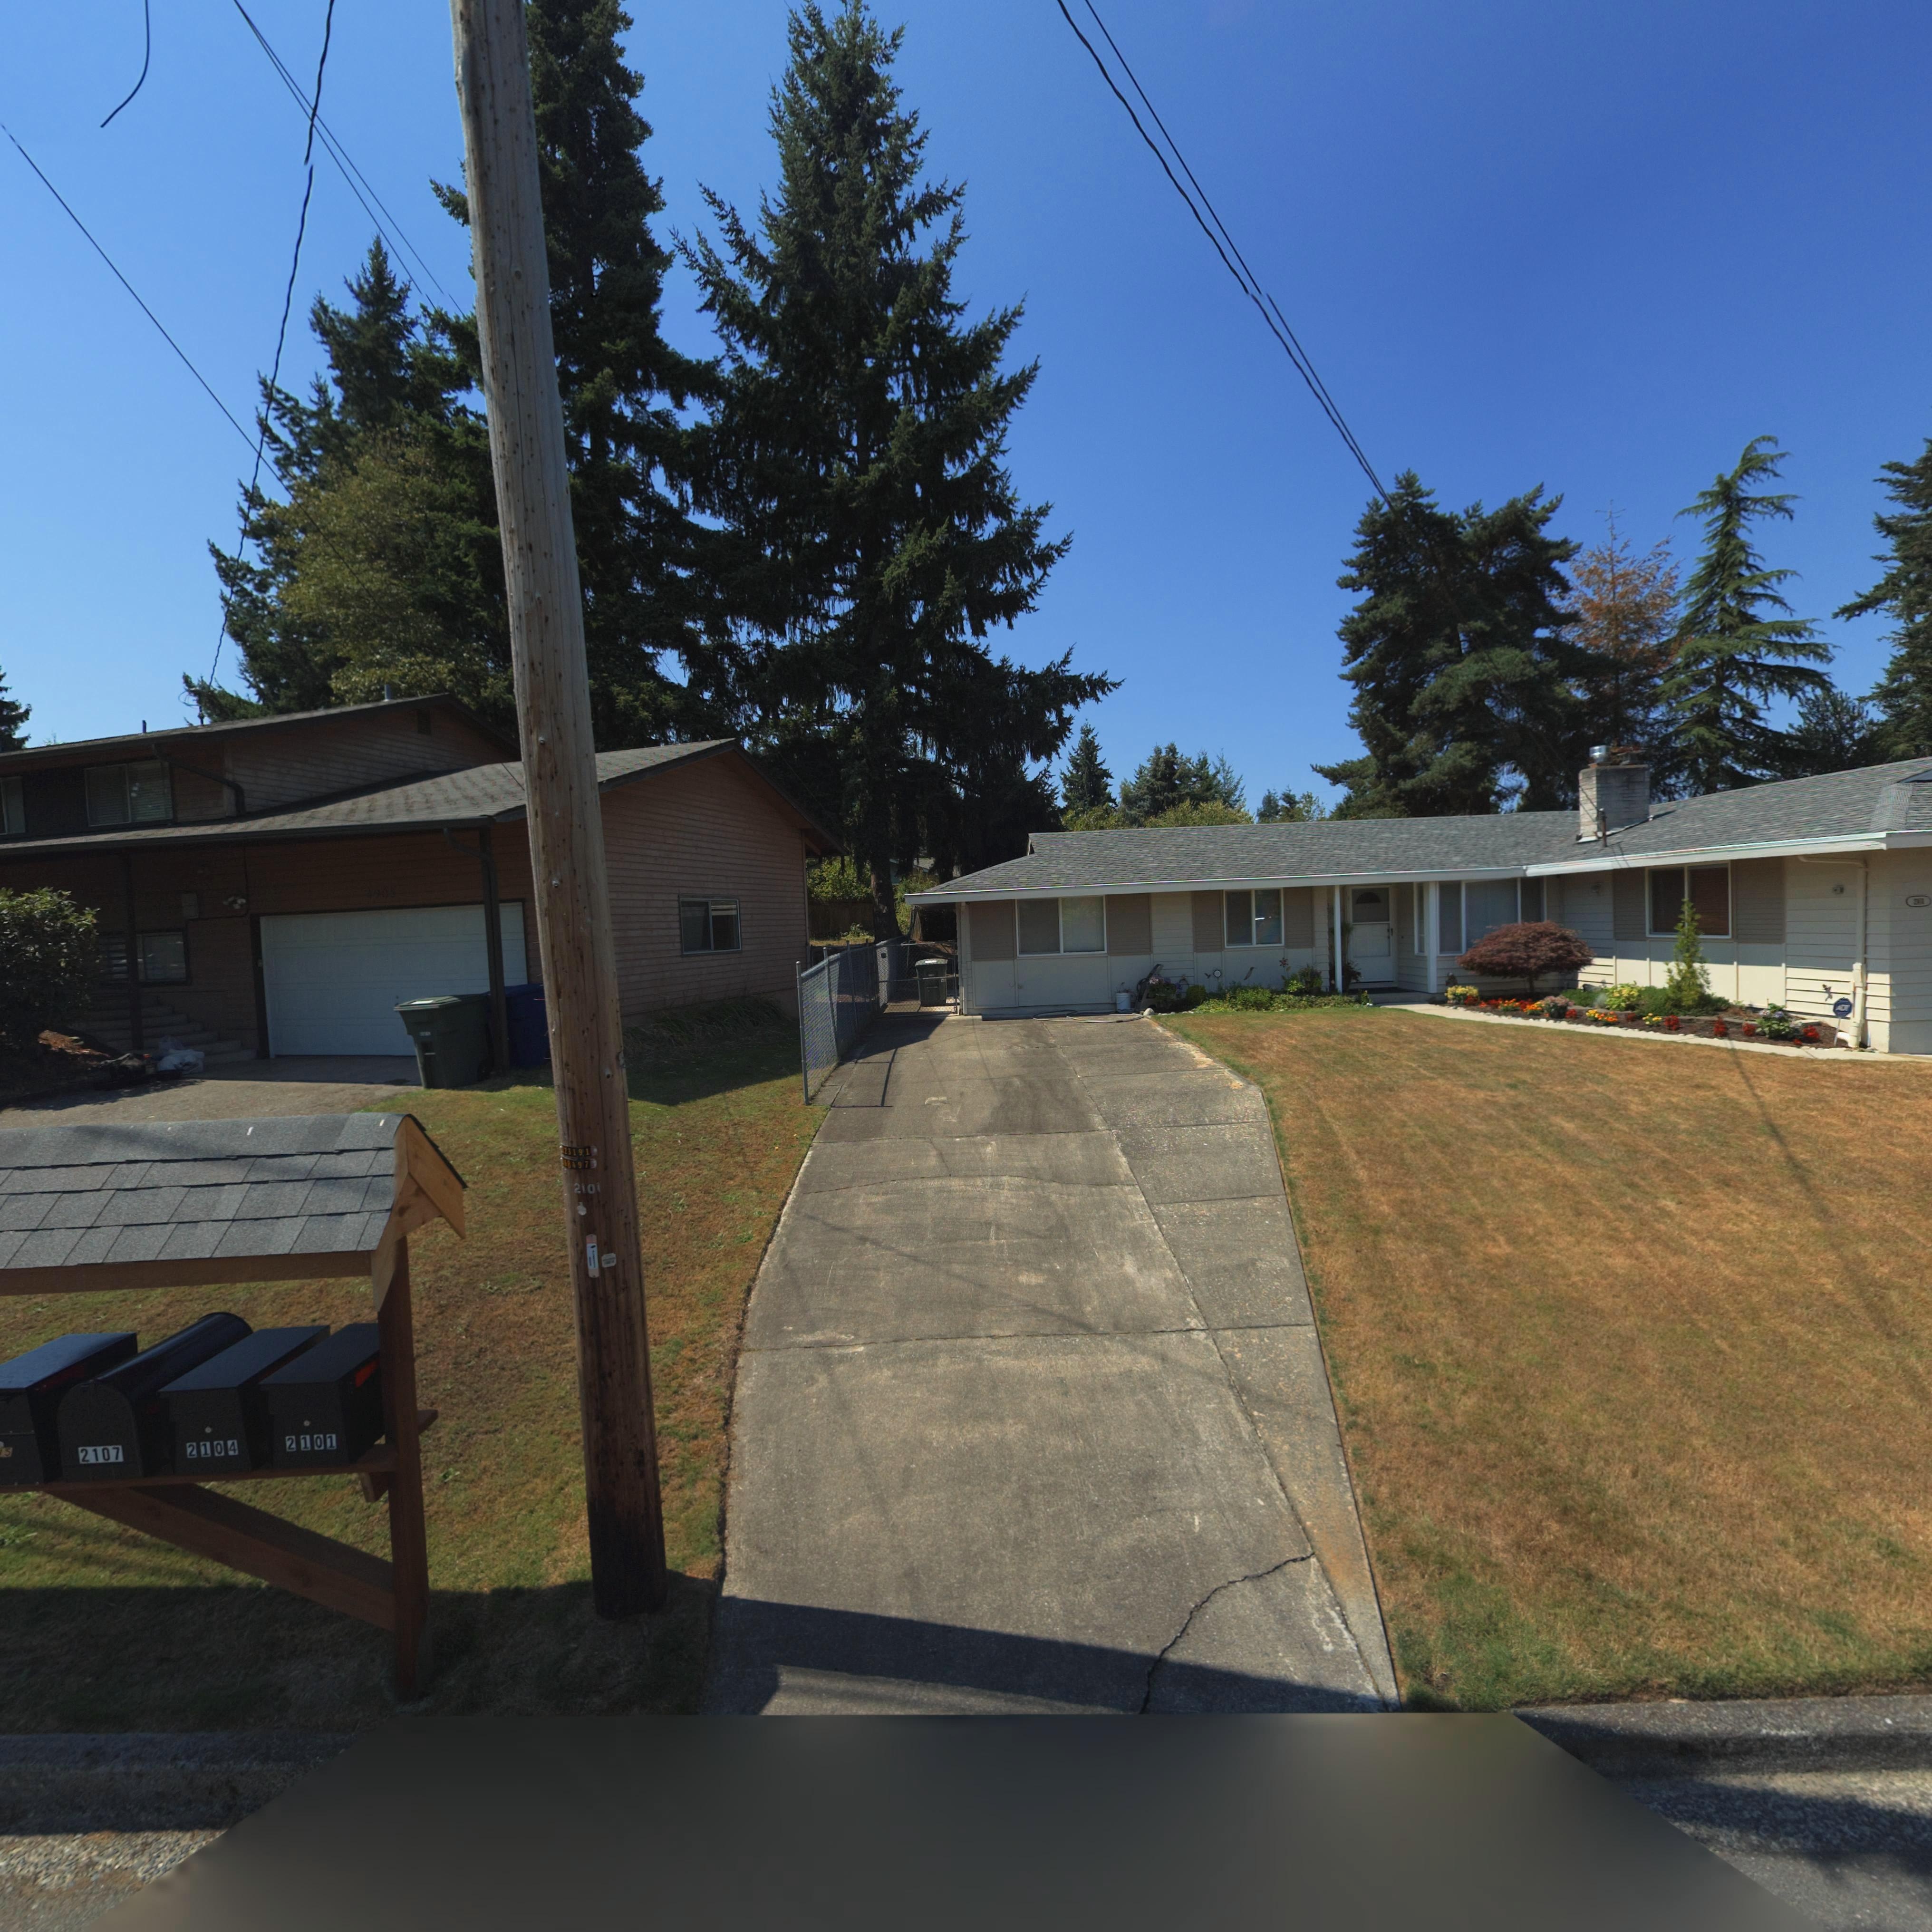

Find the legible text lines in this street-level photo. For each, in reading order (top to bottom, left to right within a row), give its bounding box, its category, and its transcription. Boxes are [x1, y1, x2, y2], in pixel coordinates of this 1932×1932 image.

[79, 1445, 120, 1462] StreetNumber: 2107
[186, 1440, 237, 1457] StreetNumber: 2104
[286, 1433, 335, 1450] StreetNumber: 2101